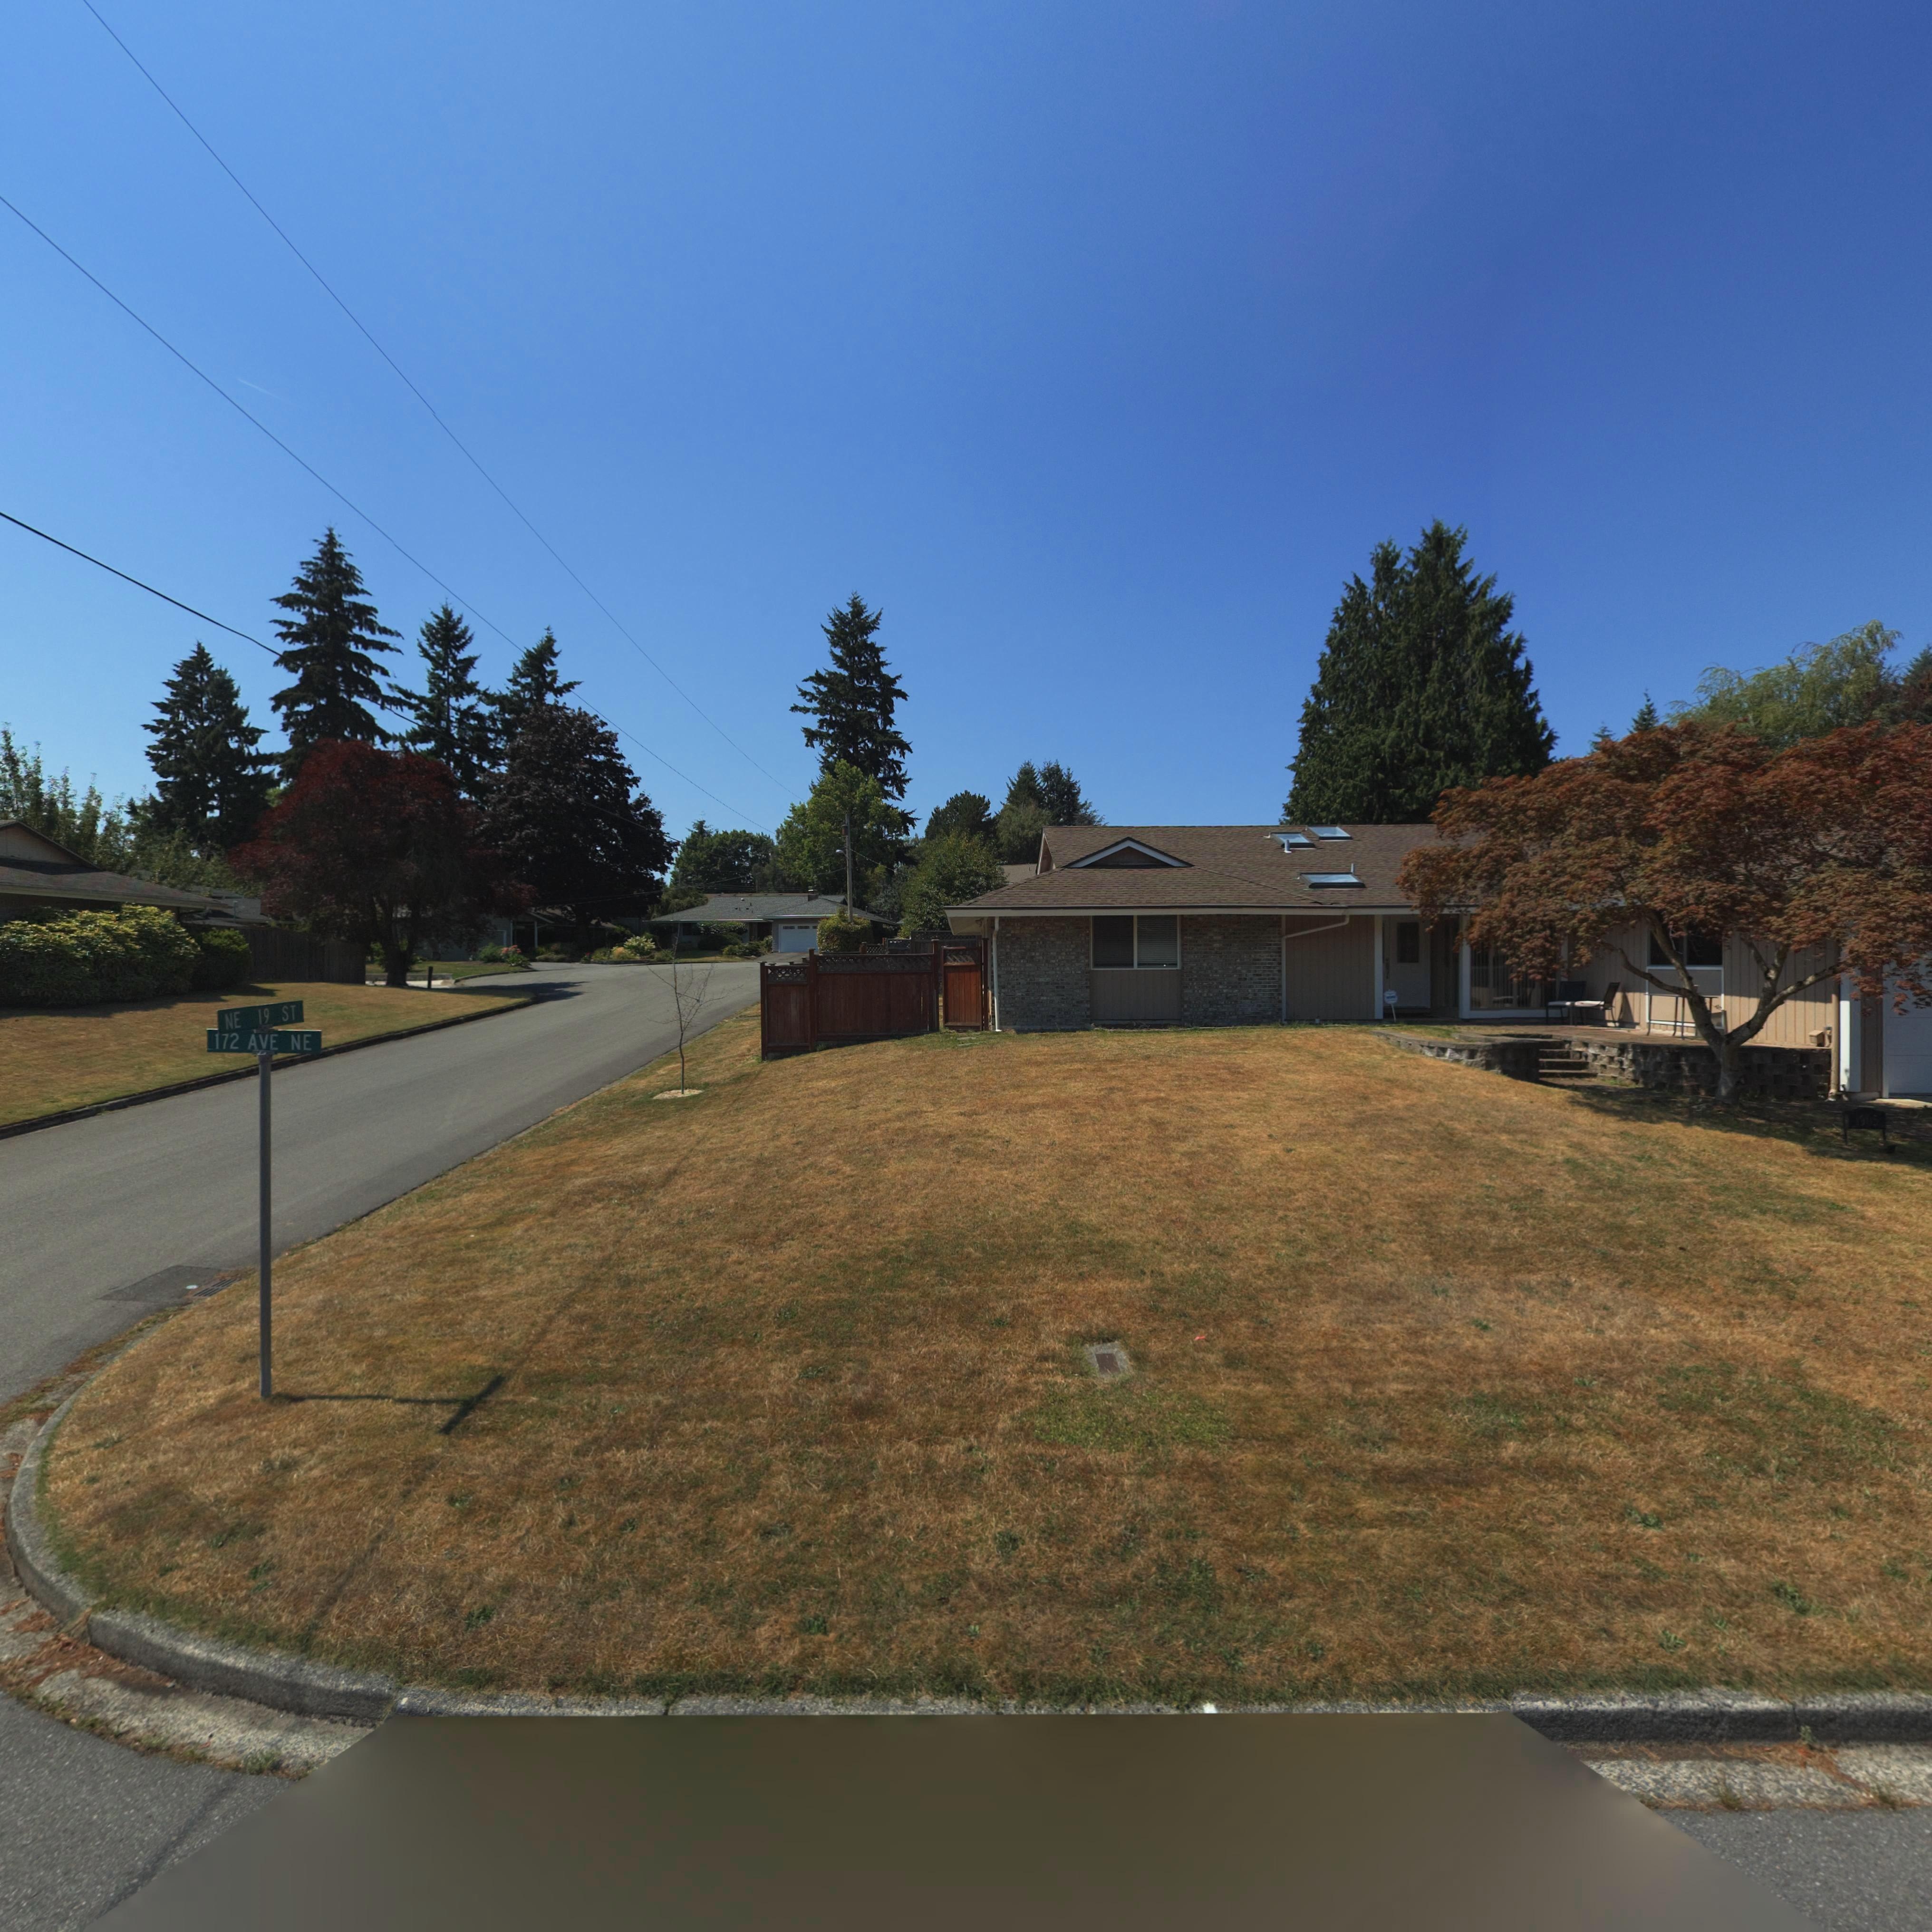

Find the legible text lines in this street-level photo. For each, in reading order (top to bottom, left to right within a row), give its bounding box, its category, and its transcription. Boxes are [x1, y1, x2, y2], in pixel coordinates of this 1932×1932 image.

[223, 1003, 297, 1031] StreetName: NE 19 ST
[215, 1033, 312, 1051] StreetName: 172 AVE NE